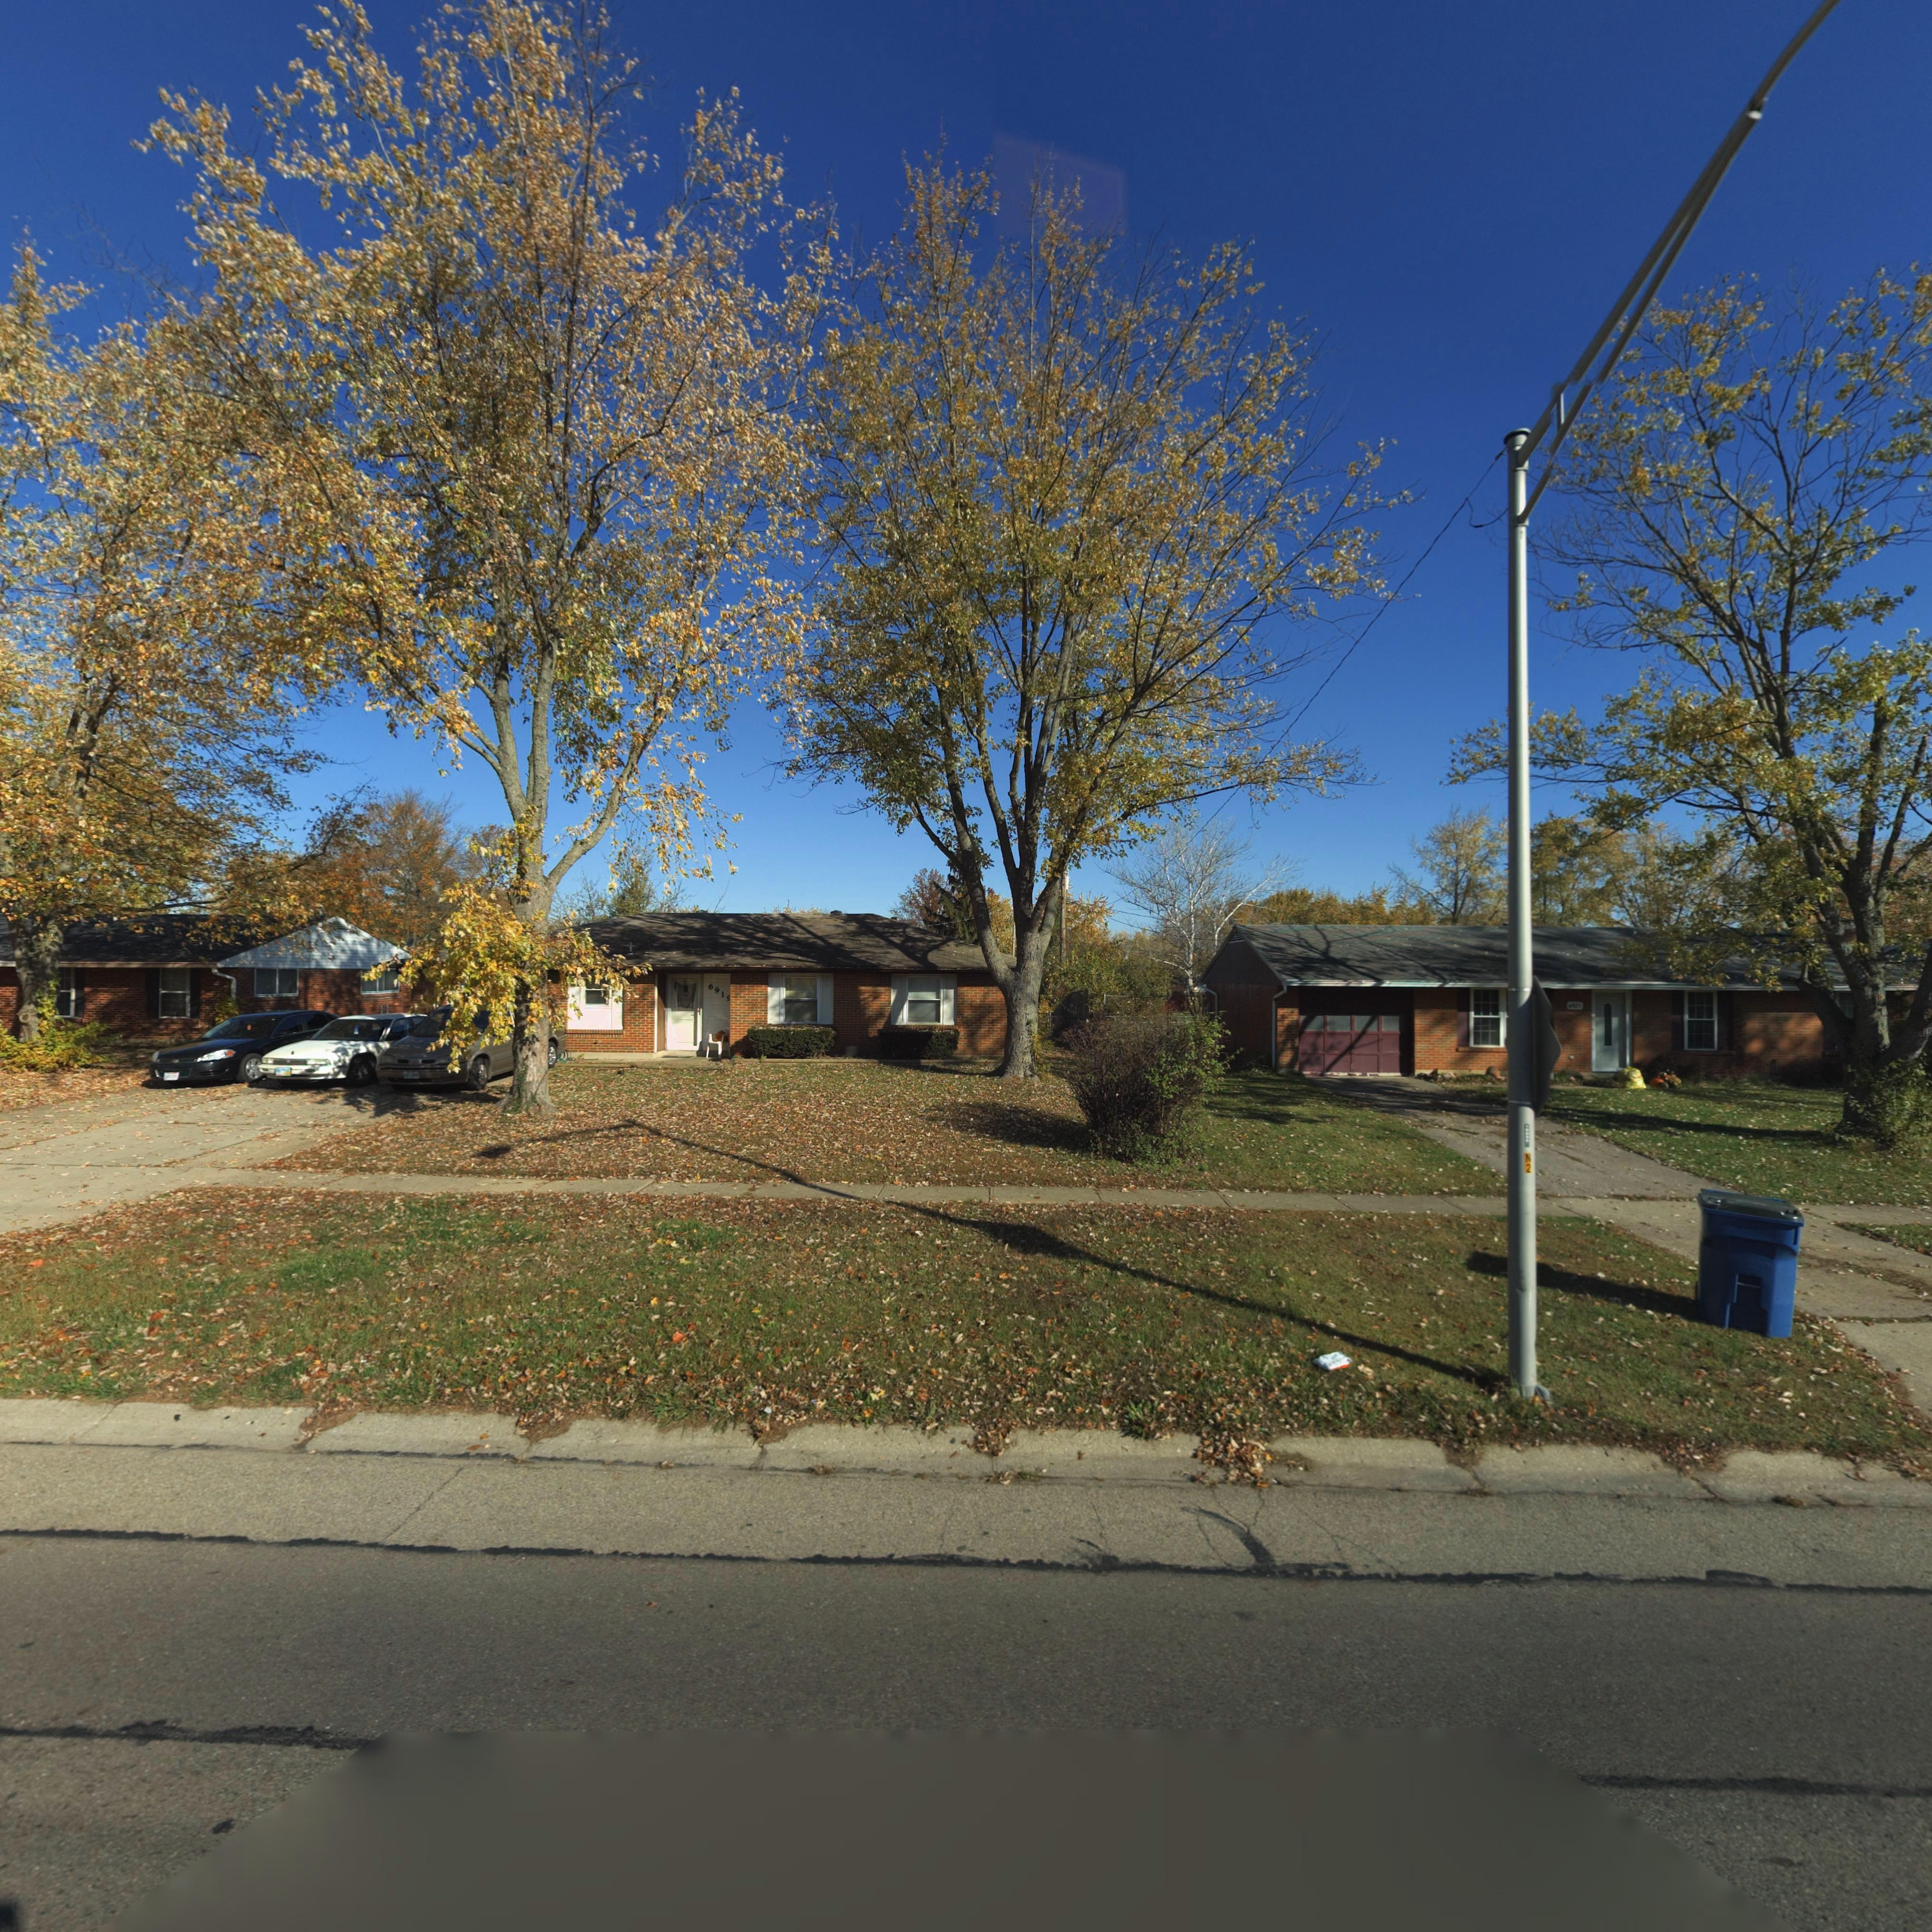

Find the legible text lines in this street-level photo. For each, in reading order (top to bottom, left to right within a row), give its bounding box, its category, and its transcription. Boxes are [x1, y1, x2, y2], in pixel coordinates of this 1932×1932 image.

[707, 982, 731, 1003] StreetNumber: 691*